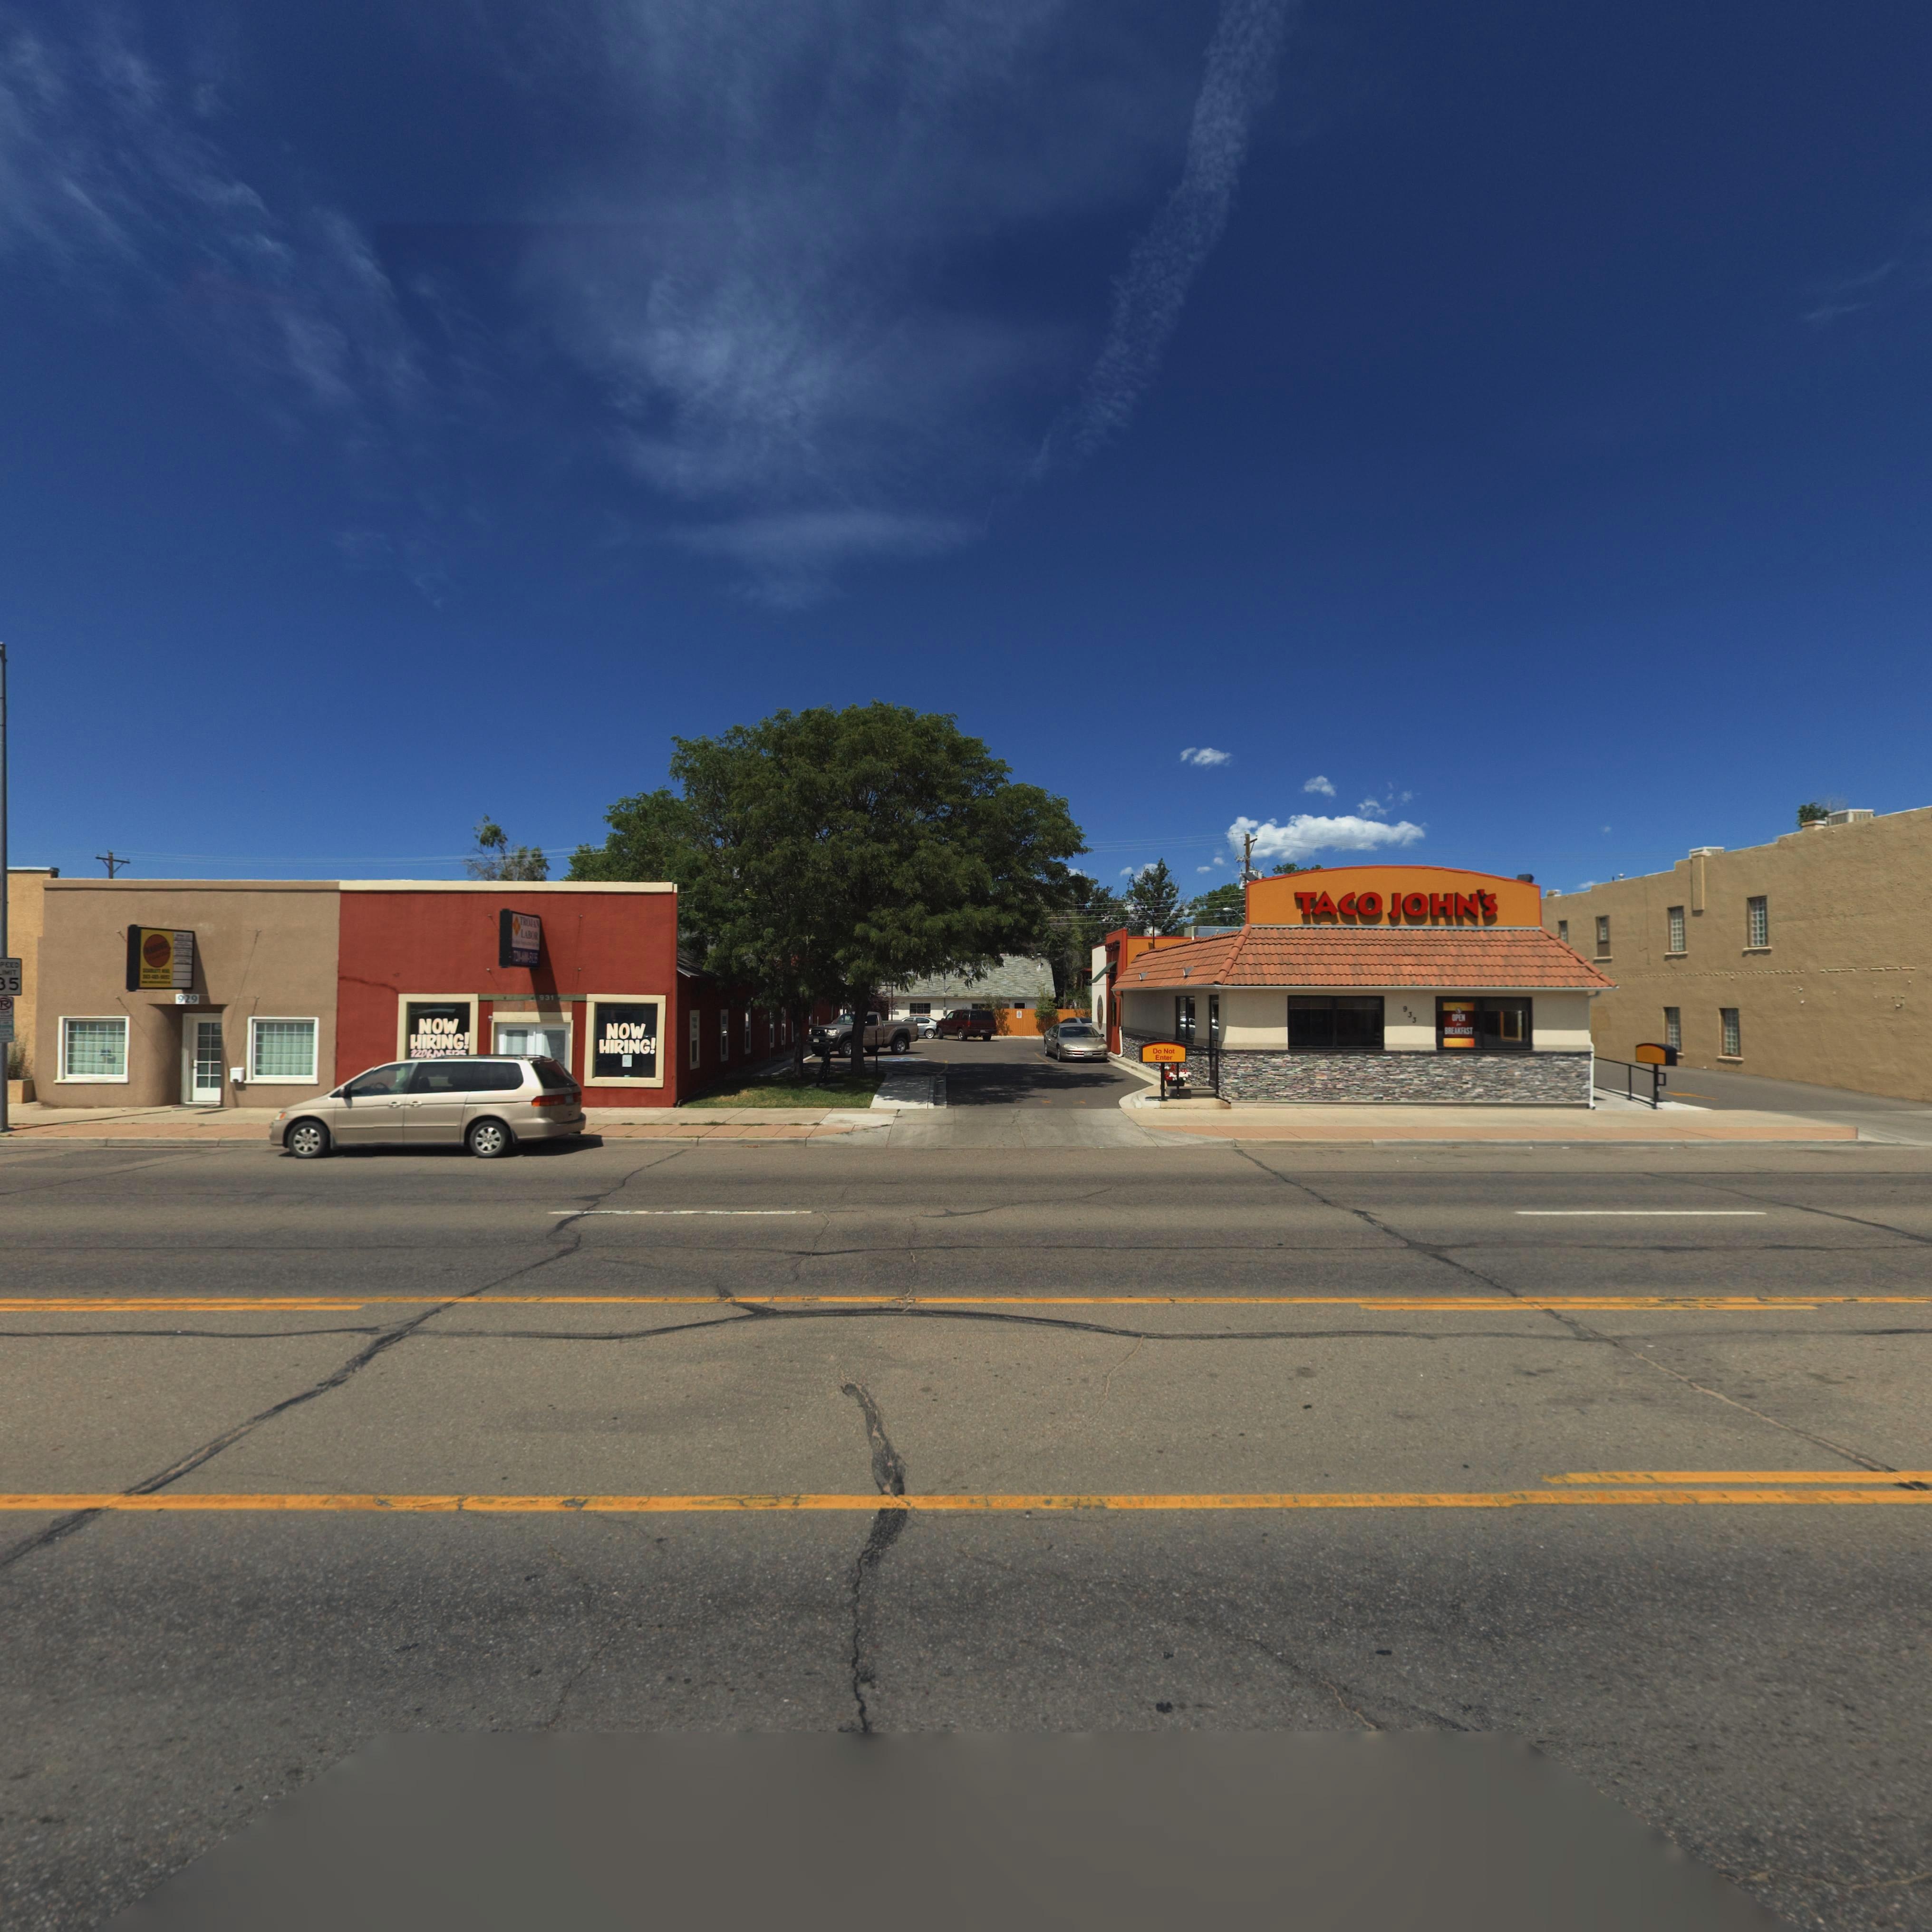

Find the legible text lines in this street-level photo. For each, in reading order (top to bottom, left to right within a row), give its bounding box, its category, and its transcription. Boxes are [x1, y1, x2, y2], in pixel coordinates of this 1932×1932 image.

[1294, 888, 1498, 918] BusinessName: TACO JOHN'S
[520, 916, 540, 928] BusinessName: TROJAN
[521, 928, 538, 940] BusinessName: LABOR
[145, 940, 168, 956] BusinessName: *****S
[177, 995, 197, 1003] StreetNumber: 929
[539, 994, 553, 1002] StreetNumber: 931
[1402, 1005, 1417, 1023] StreetNumber: 933